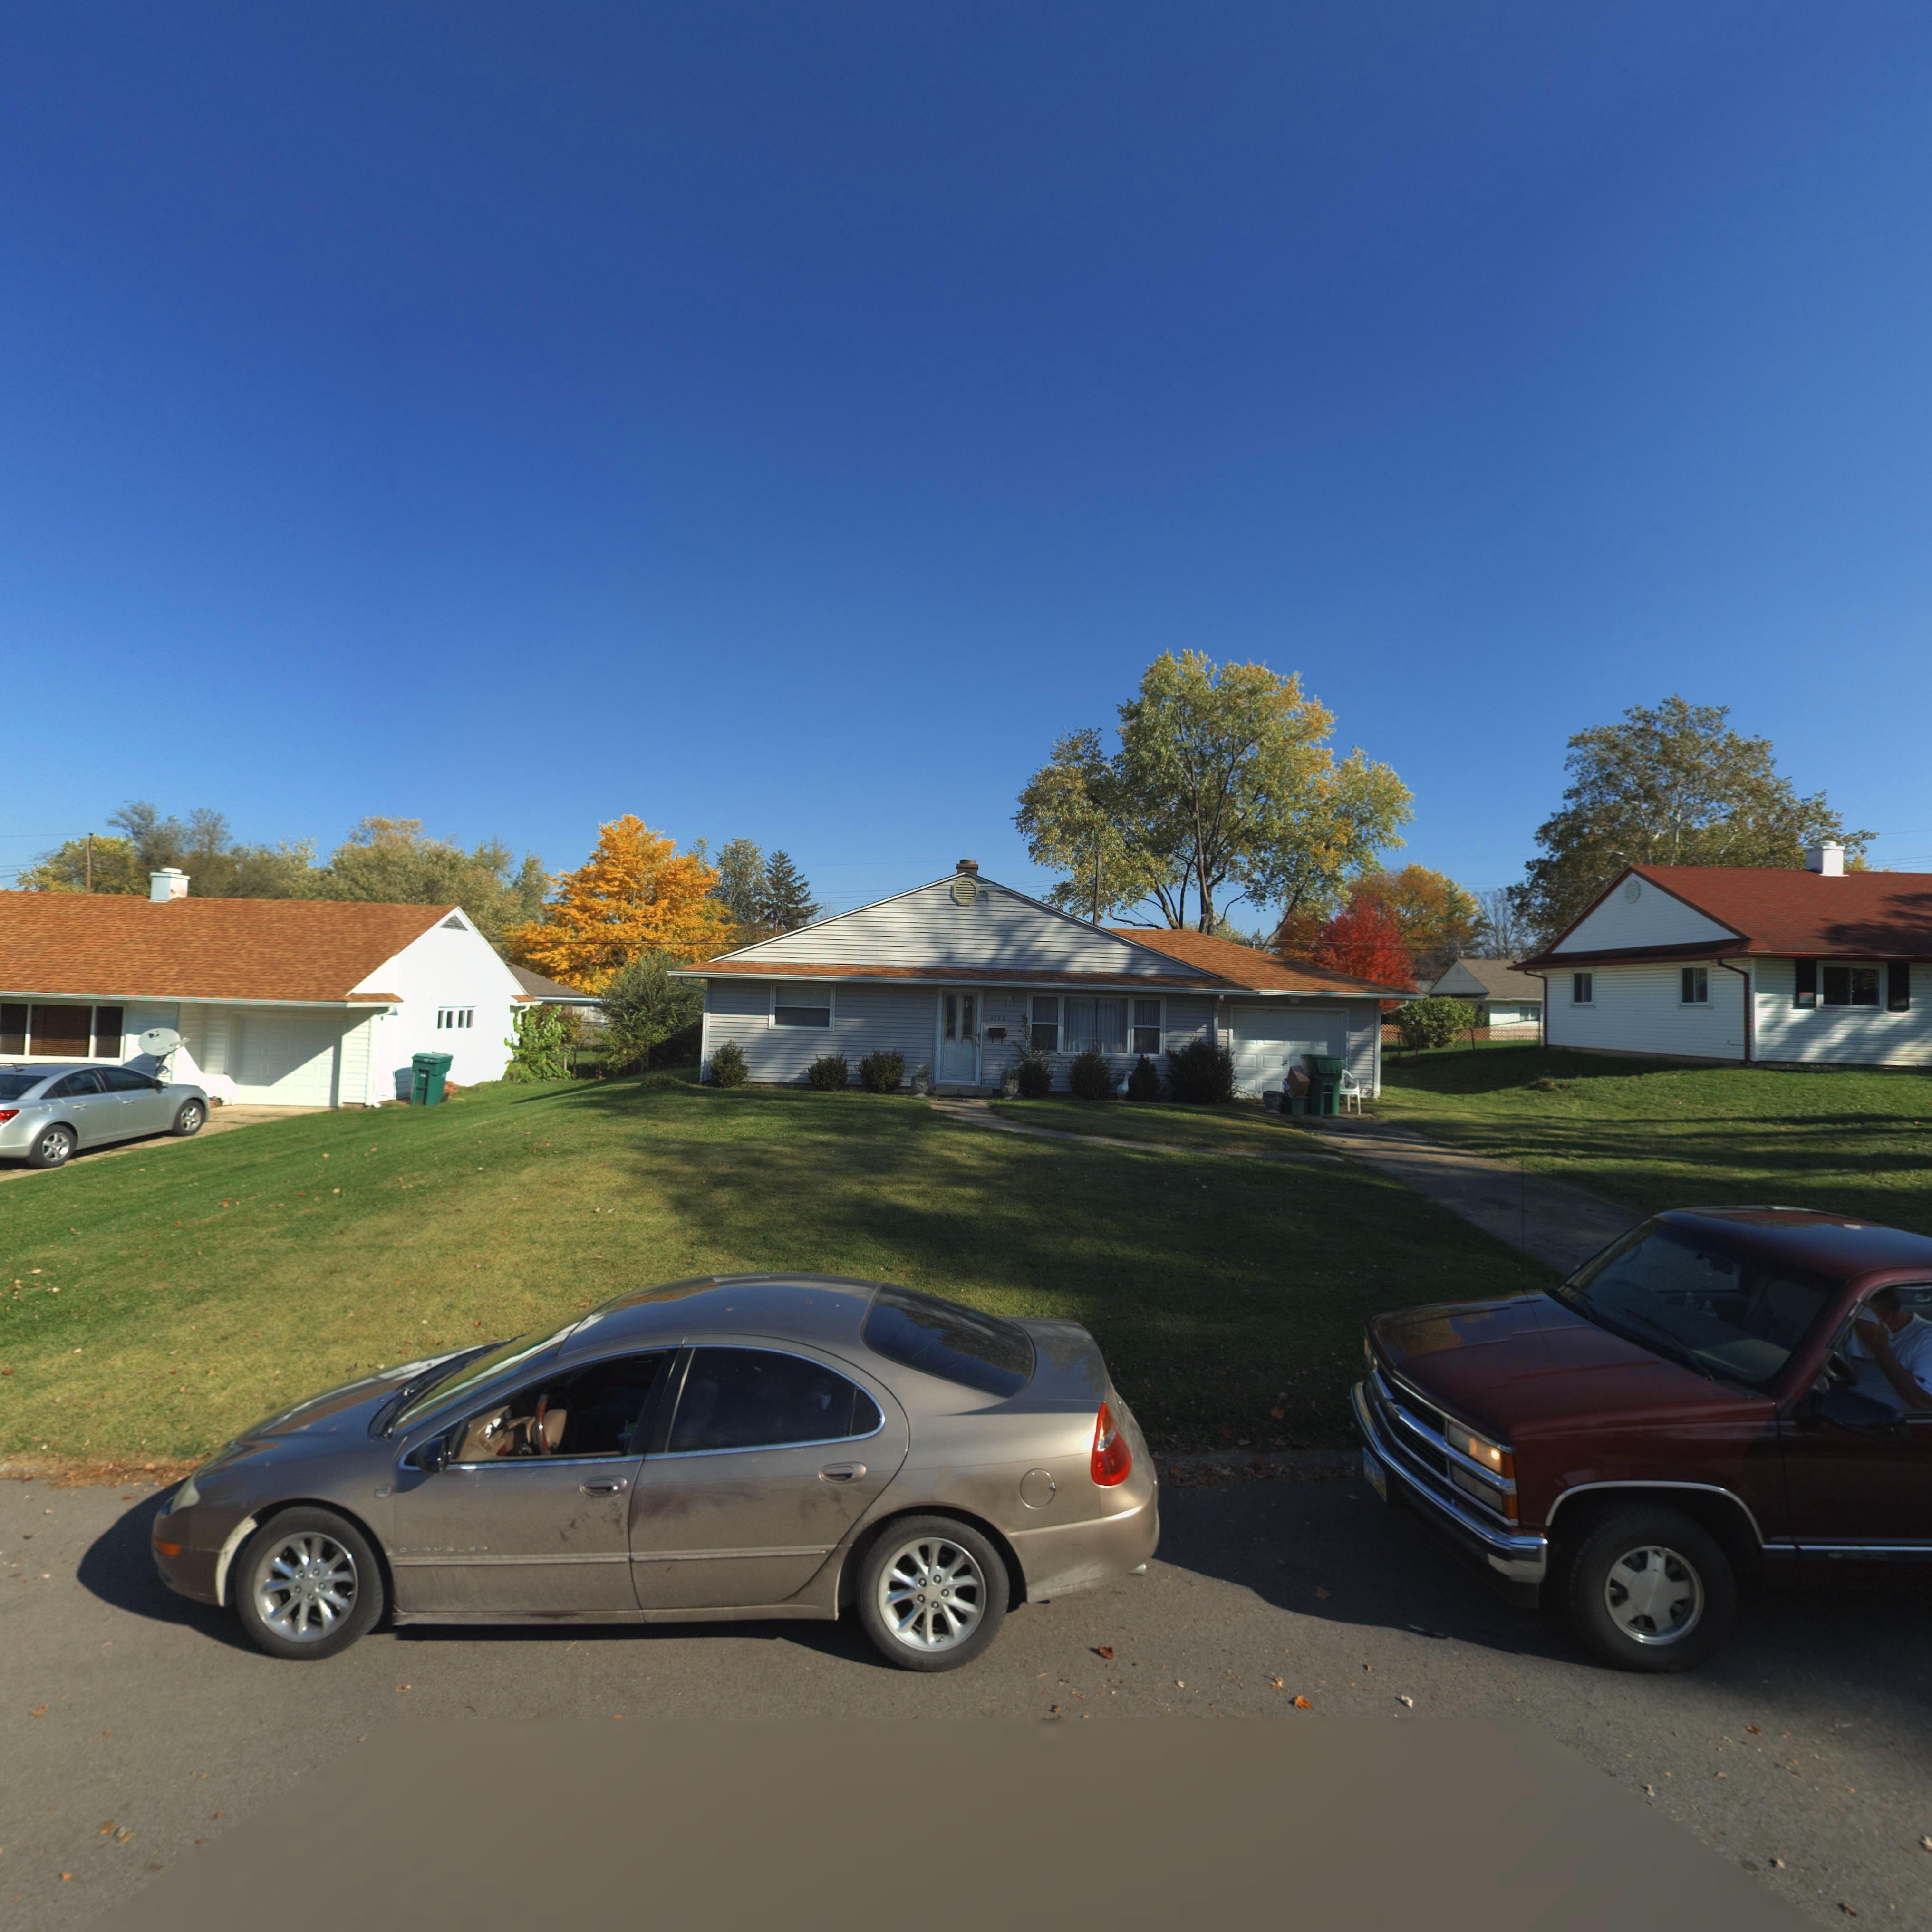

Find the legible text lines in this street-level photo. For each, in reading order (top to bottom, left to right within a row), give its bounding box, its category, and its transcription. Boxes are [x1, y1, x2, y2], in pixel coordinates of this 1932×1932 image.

[989, 1016, 1005, 1021] StreetNumber: 3722
[399, 1546, 489, 1554] None: CHRYSLET